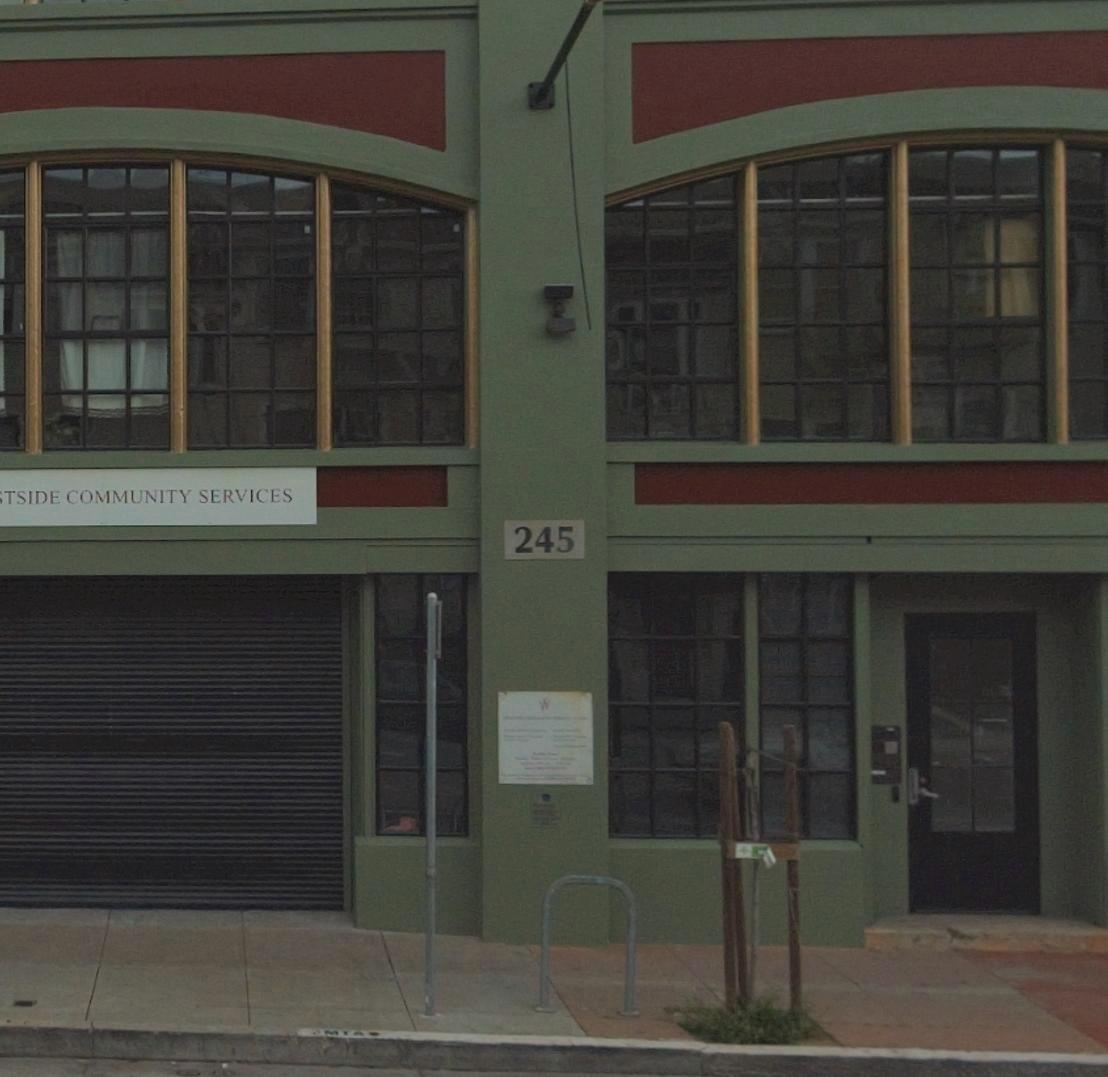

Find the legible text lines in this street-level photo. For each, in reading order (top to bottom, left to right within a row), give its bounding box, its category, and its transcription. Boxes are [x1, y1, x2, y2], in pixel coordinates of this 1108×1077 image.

[1, 485, 296, 507] None: TSIDE COMMUNITY SERVICES
[512, 524, 576, 555] StreetNumber: 245